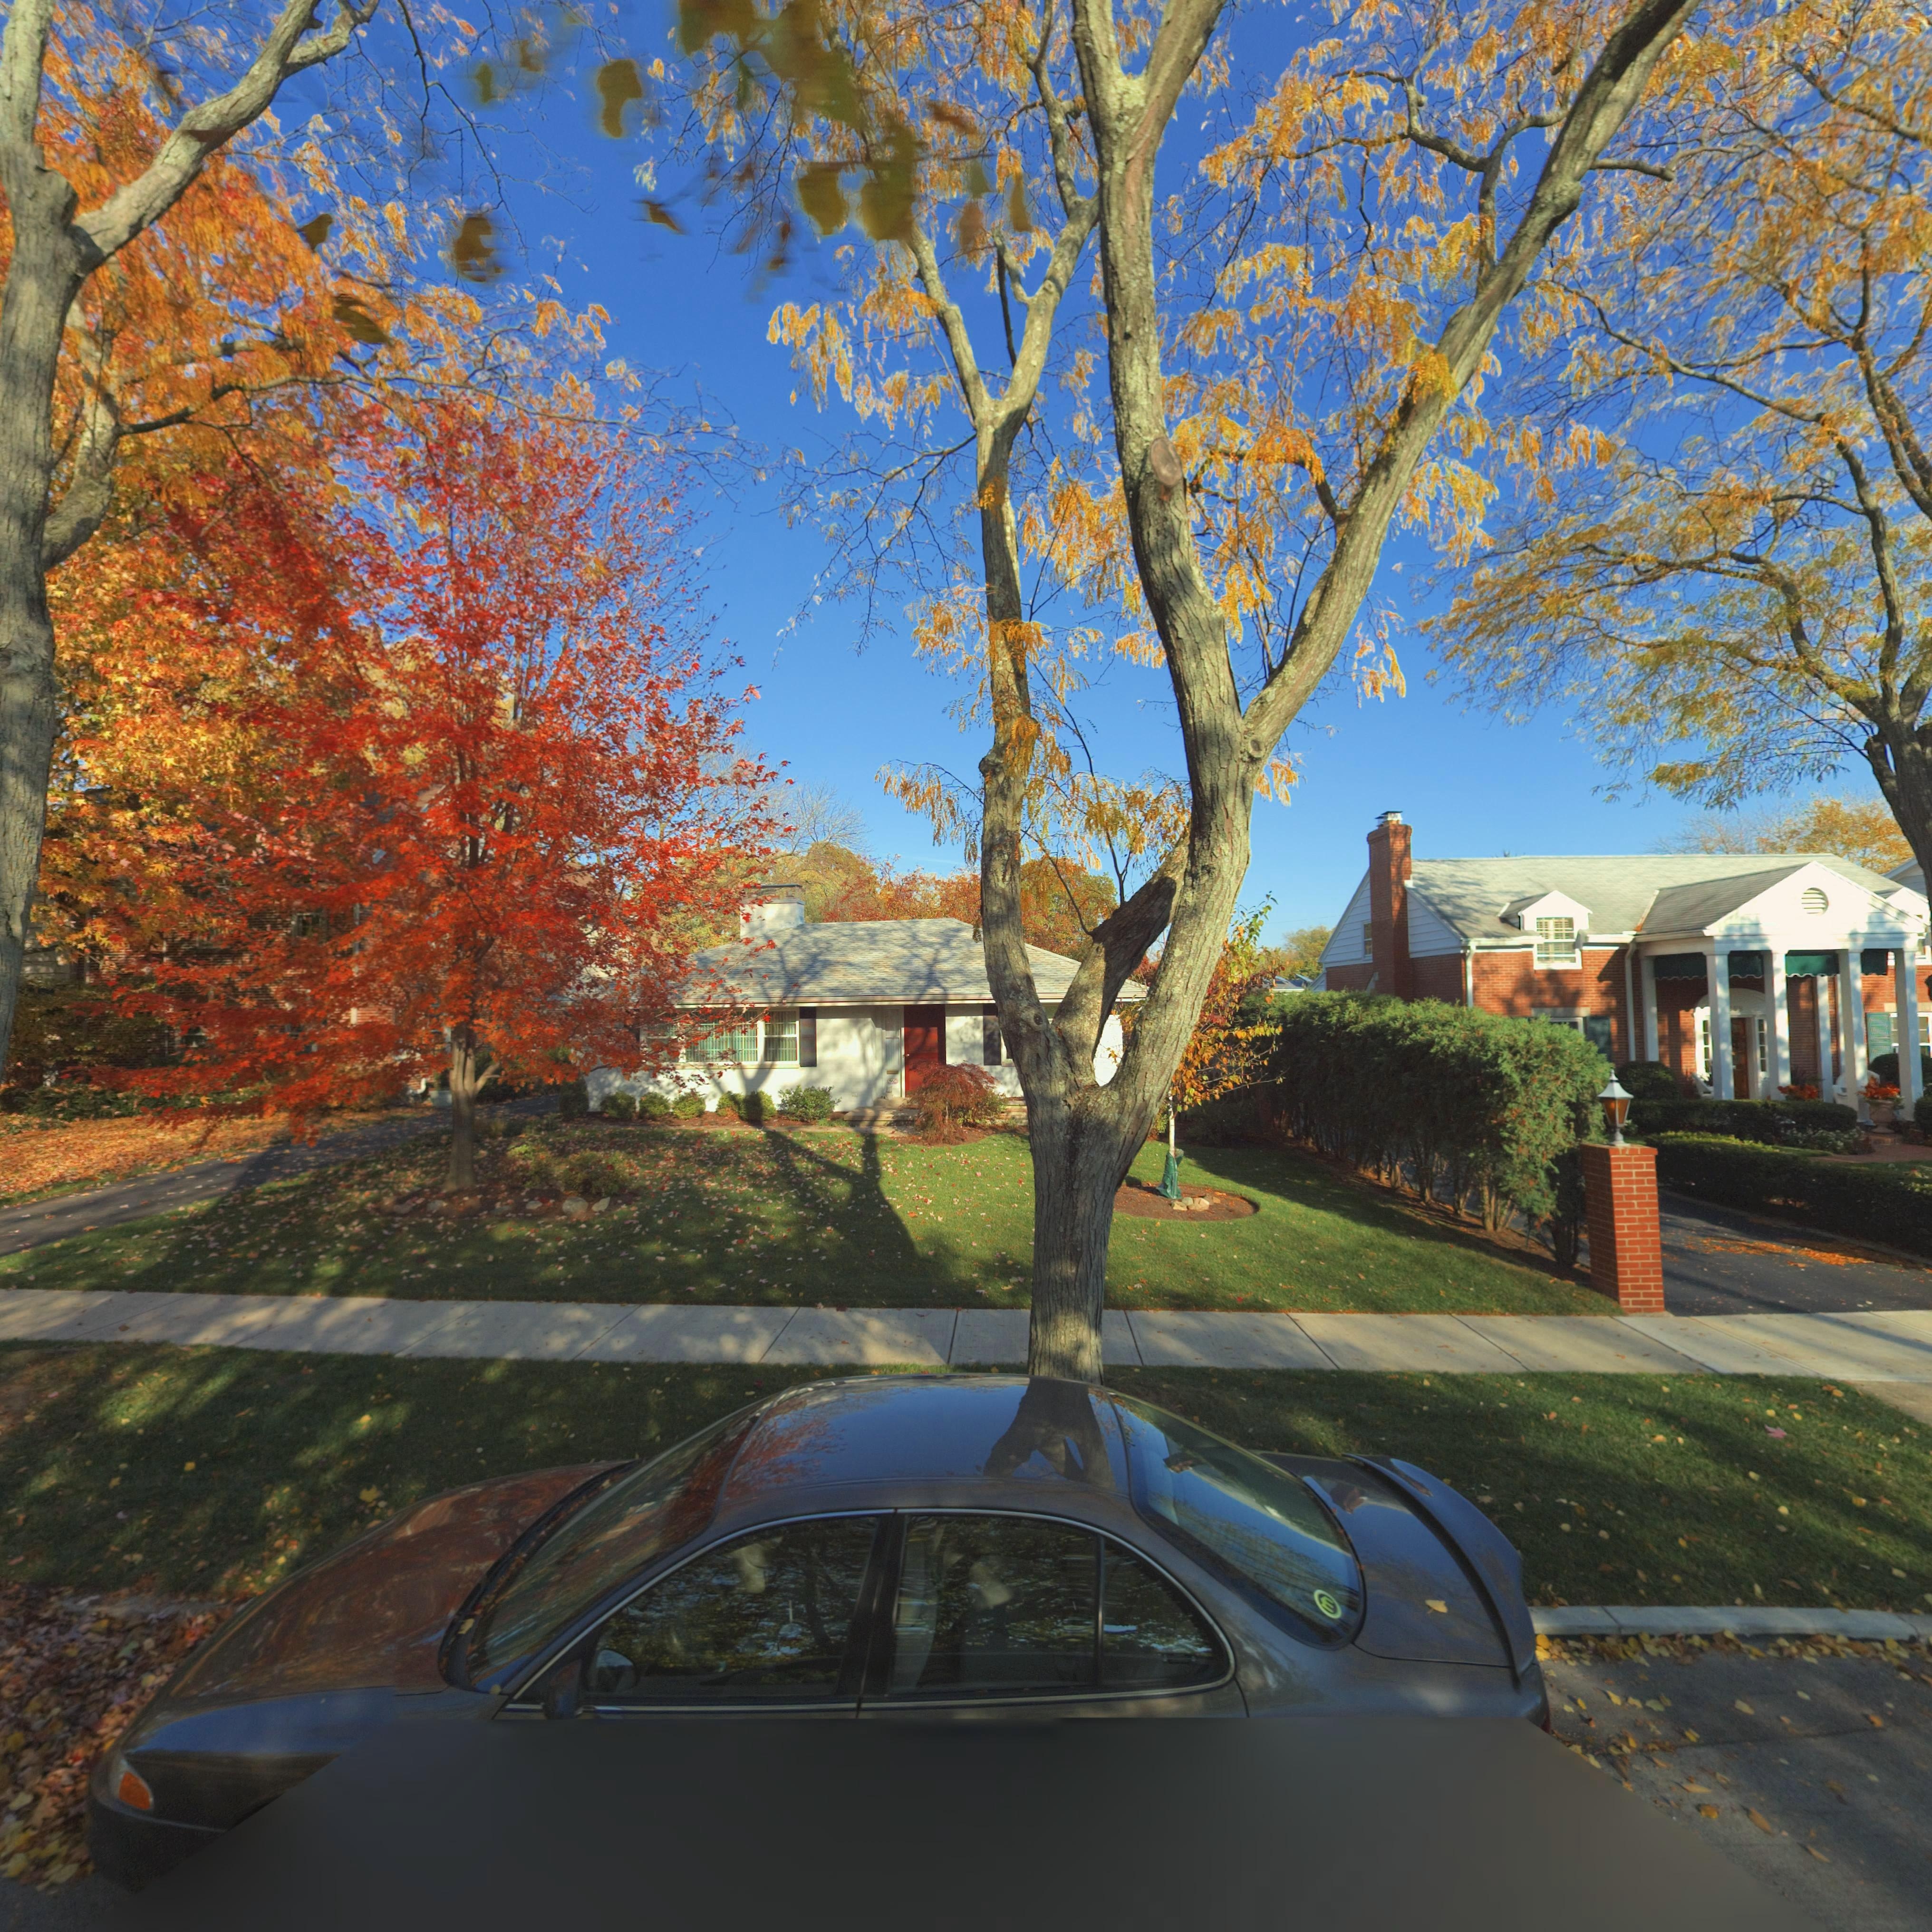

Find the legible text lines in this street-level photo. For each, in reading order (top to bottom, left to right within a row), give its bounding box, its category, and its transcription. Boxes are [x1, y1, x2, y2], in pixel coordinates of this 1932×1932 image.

[1728, 1005, 1742, 1012] StreetNumber: *68
[888, 1078, 898, 1083] StreetNumber: 560